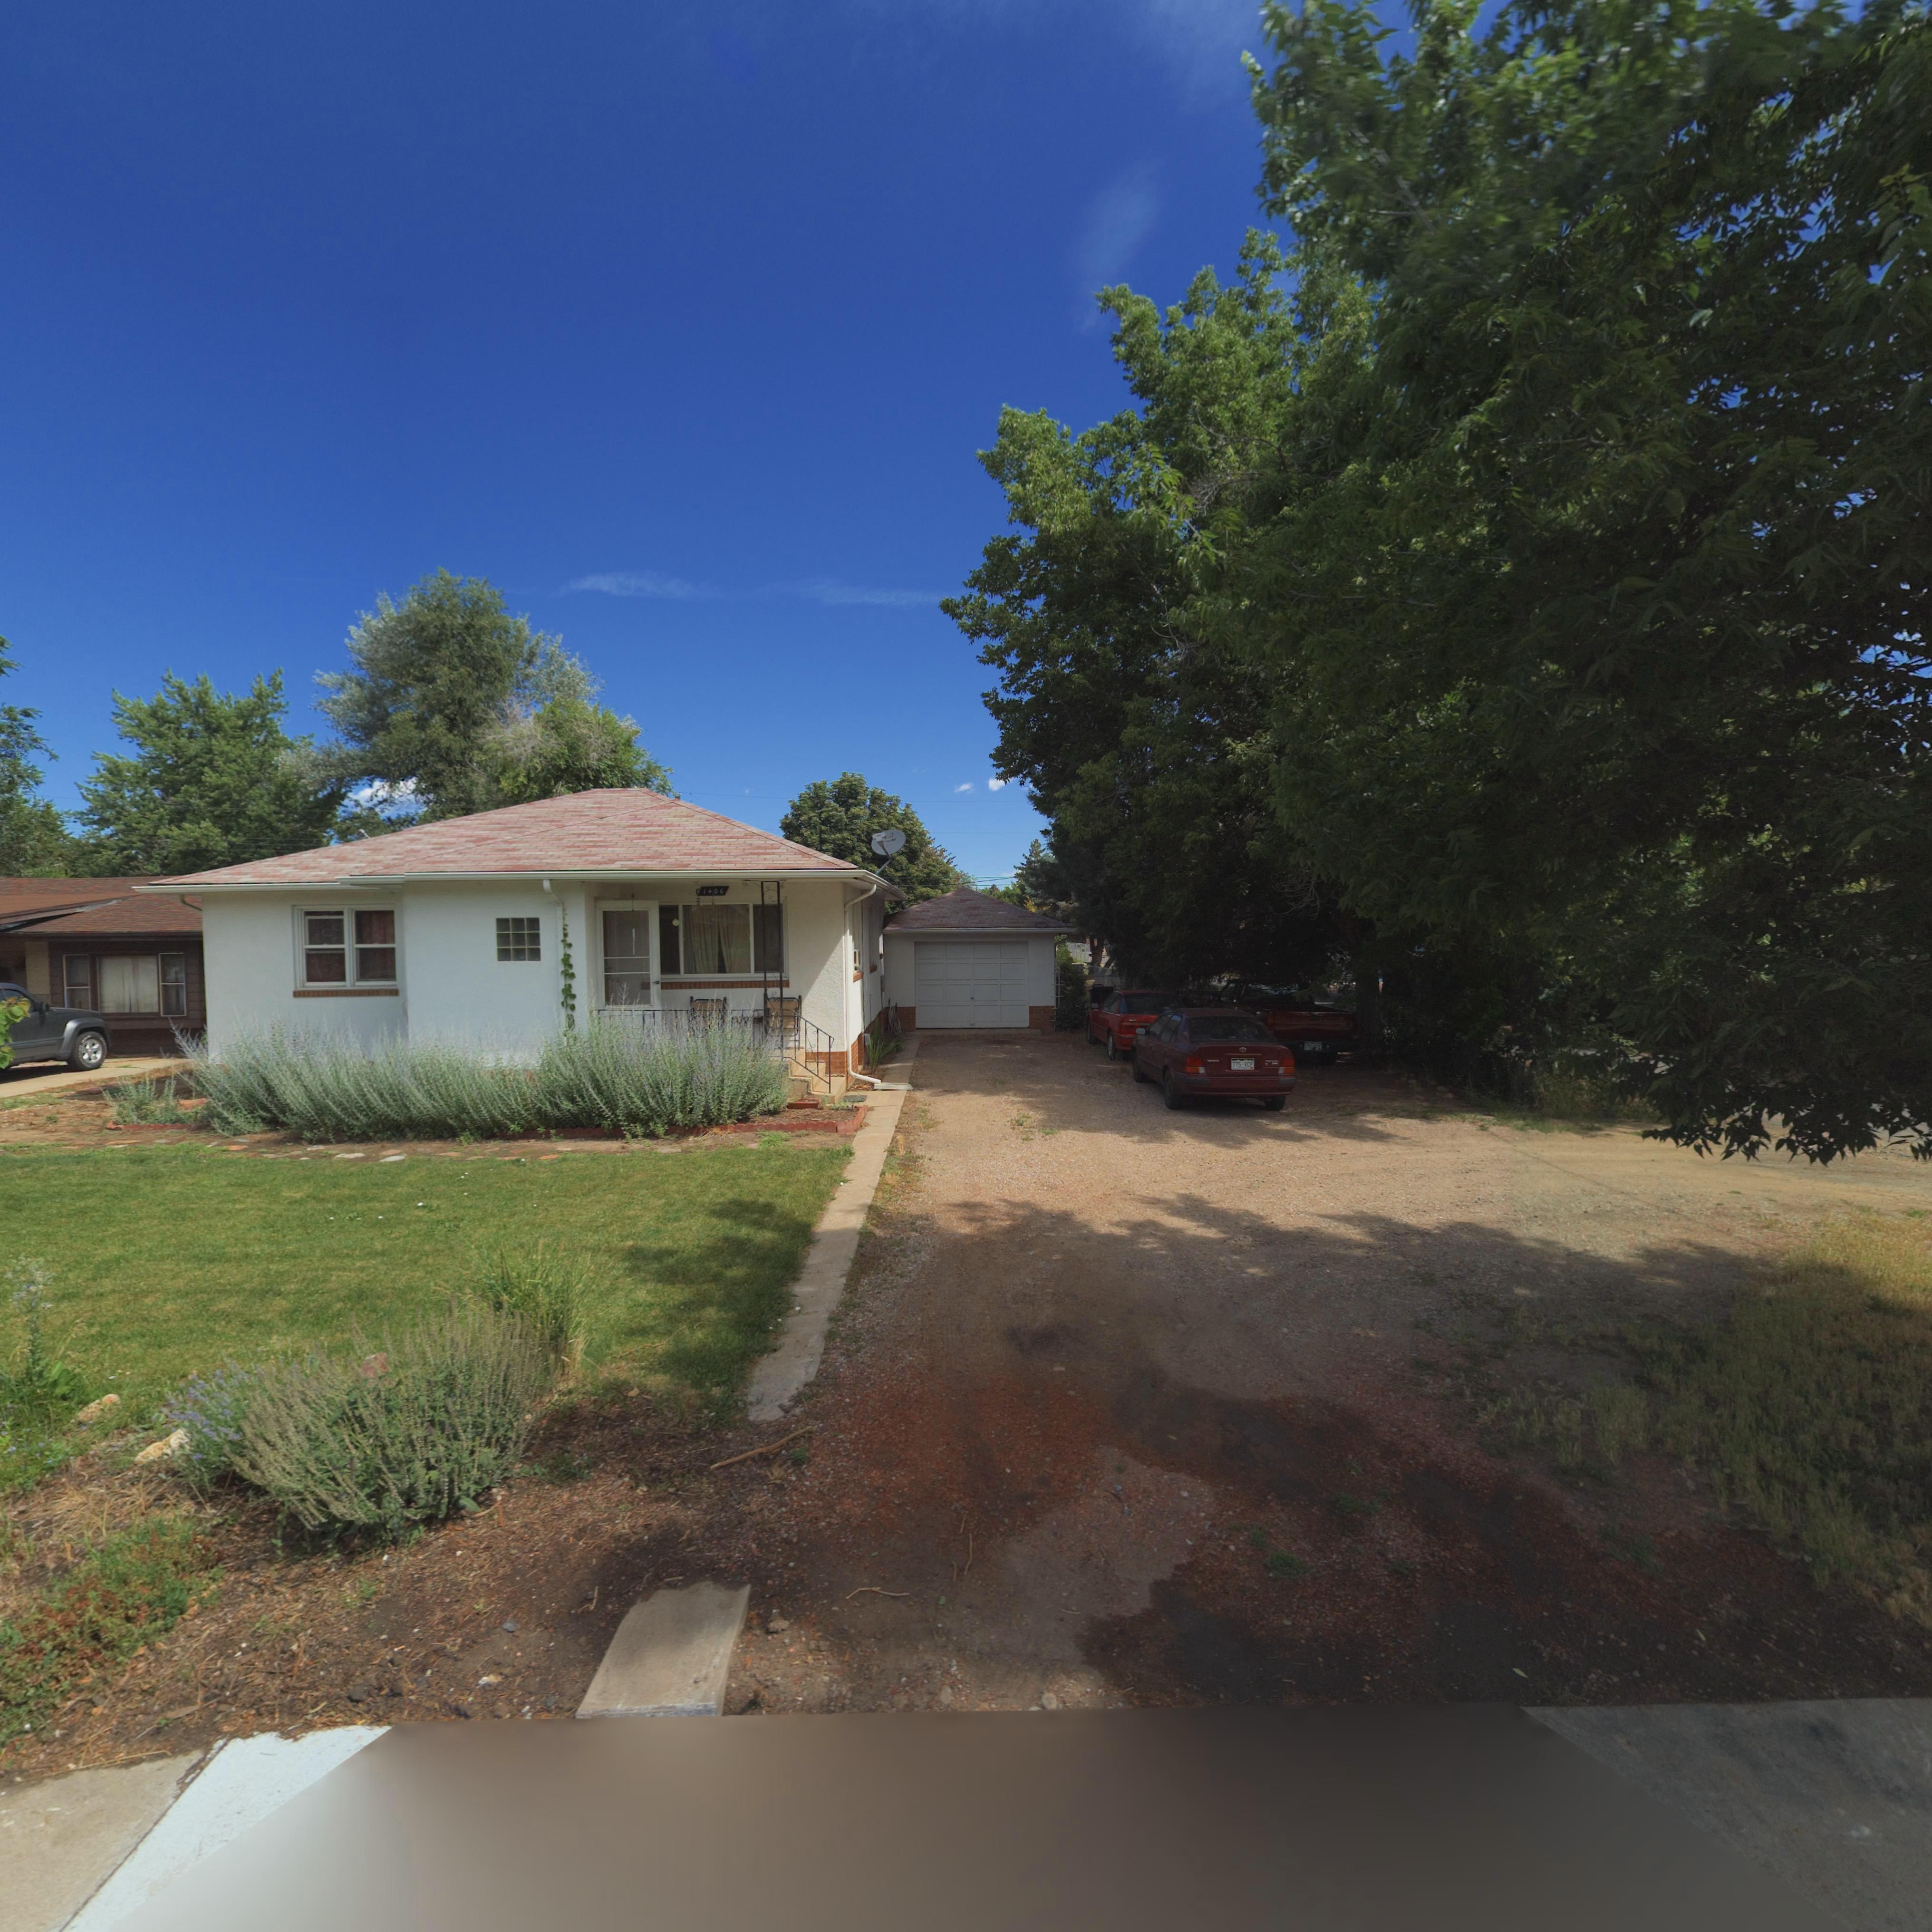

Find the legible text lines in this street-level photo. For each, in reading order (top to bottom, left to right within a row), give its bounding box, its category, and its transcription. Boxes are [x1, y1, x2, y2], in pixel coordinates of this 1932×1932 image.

[703, 888, 724, 894] StreetNumber: 1406